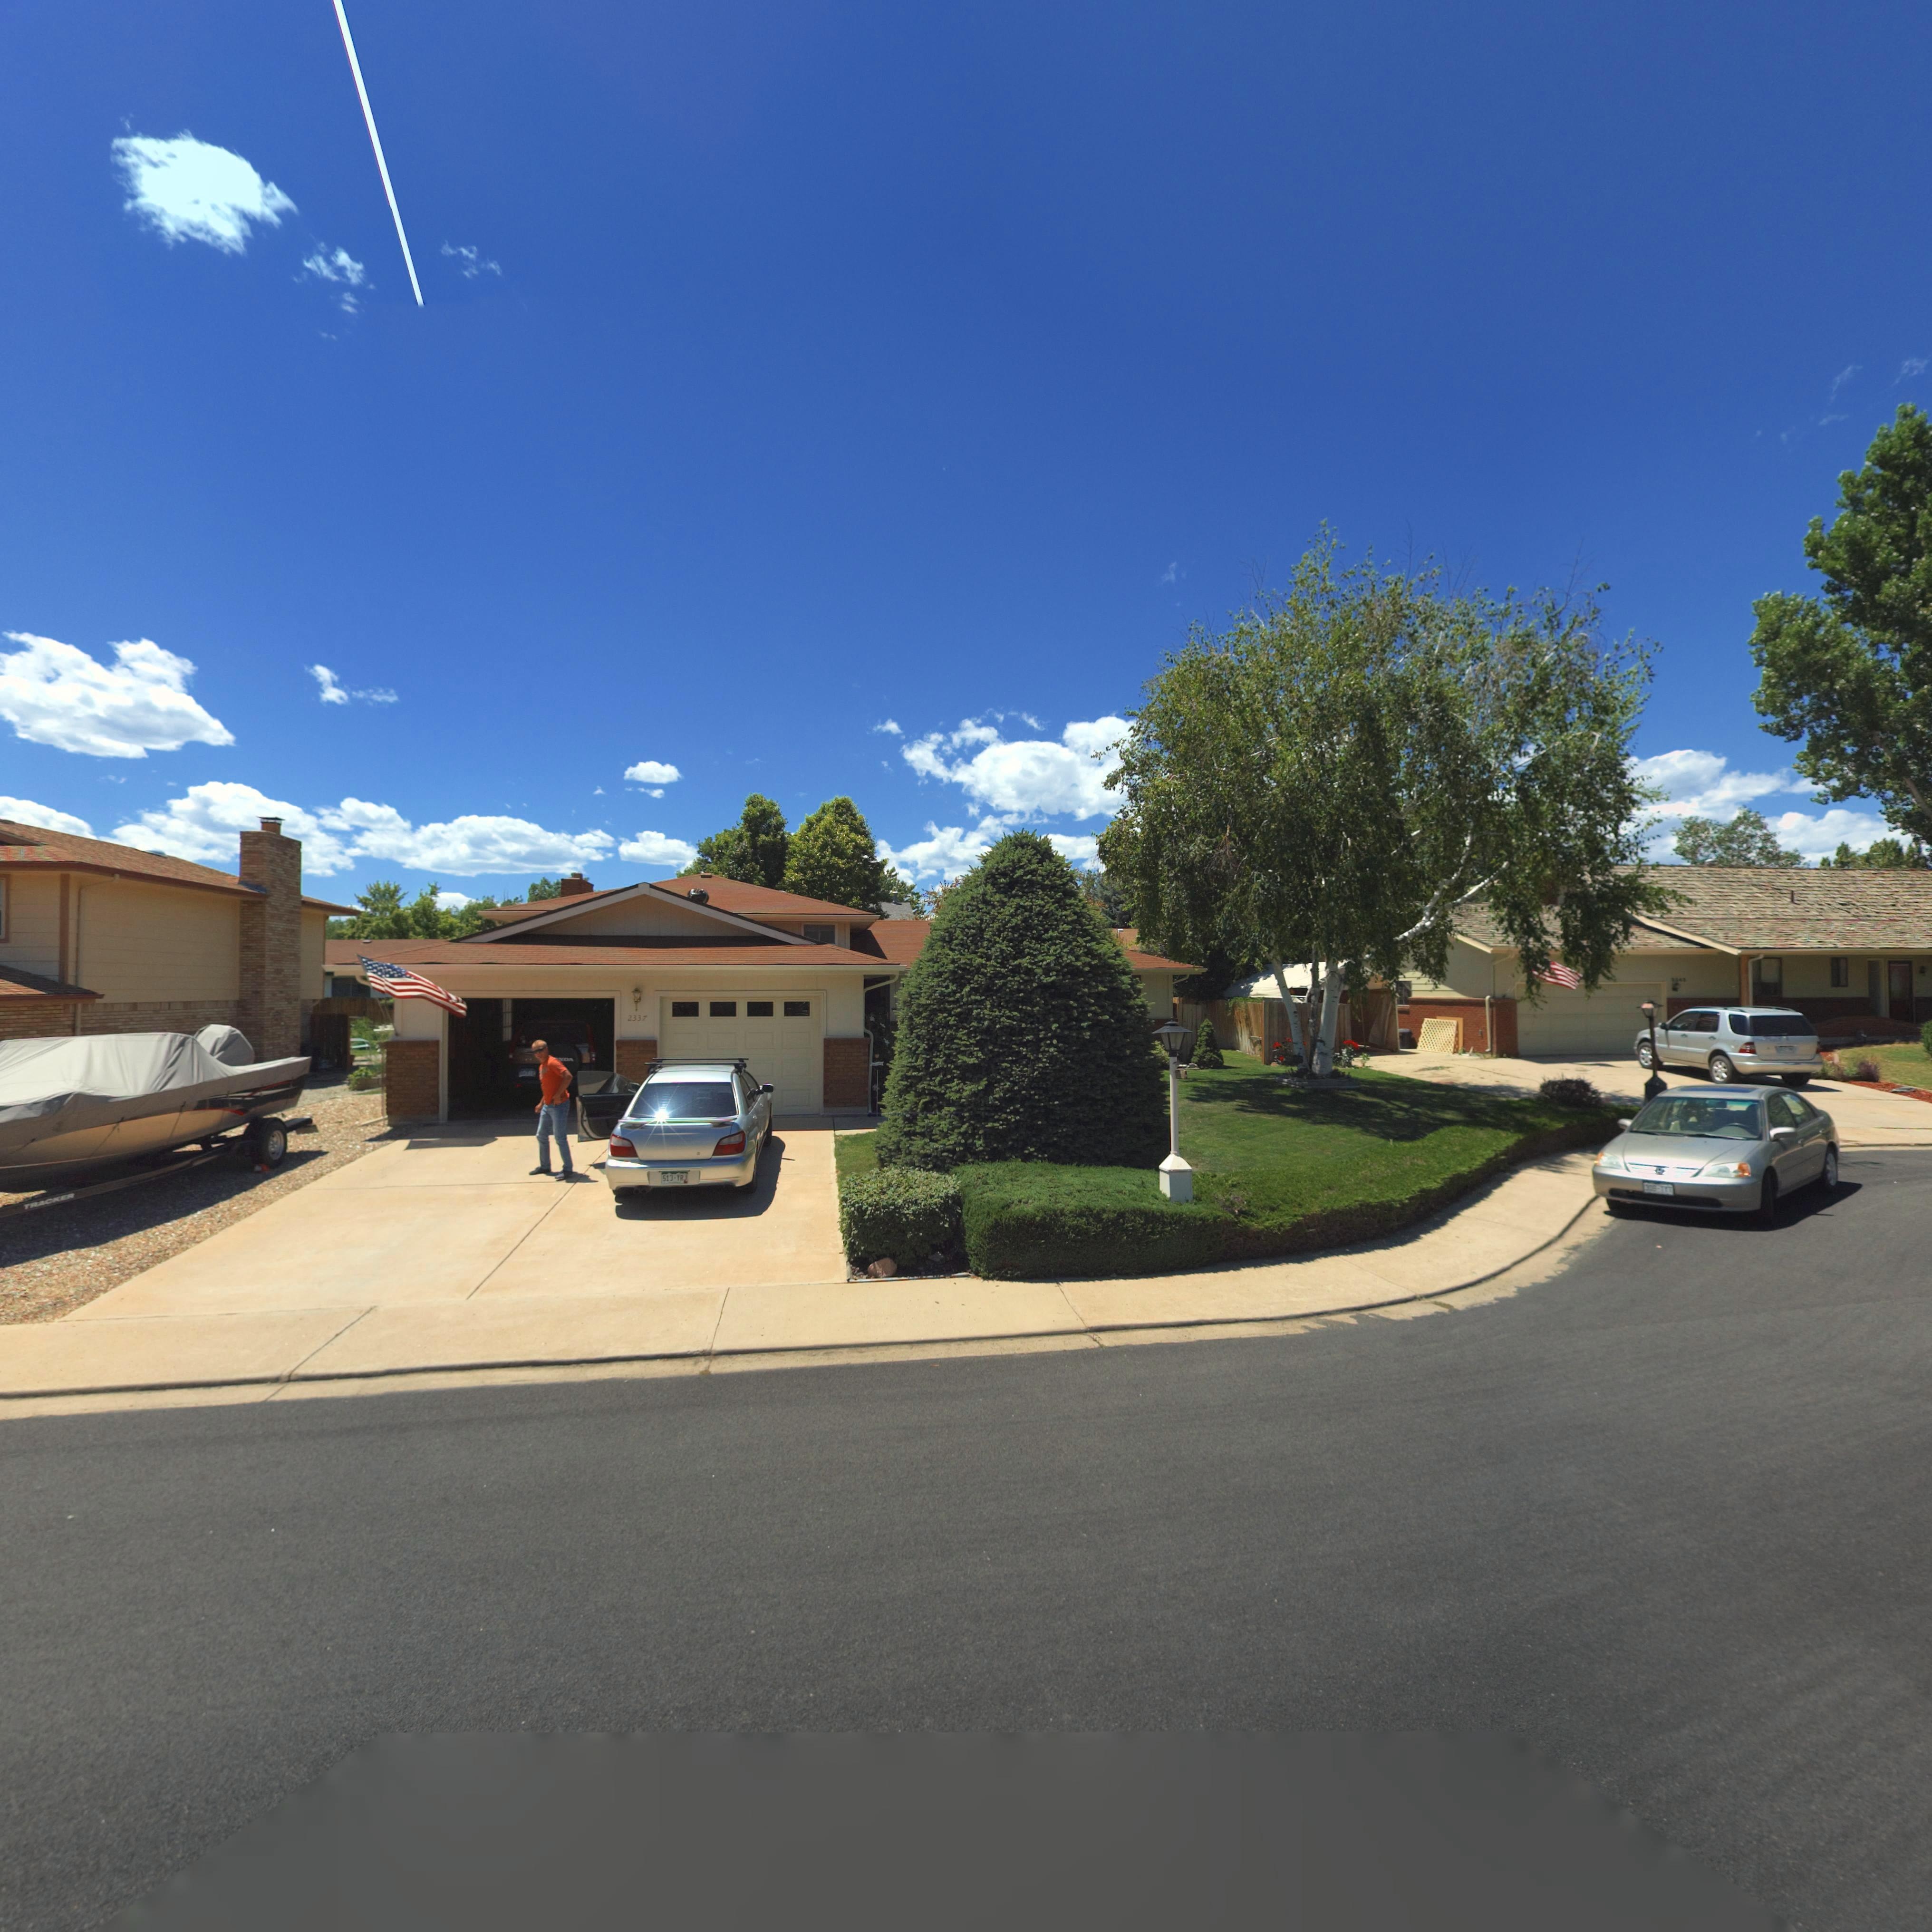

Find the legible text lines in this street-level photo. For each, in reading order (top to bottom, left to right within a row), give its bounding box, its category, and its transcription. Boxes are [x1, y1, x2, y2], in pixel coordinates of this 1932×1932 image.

[1671, 977, 1687, 982] StreetNumber: 2343
[627, 1014, 647, 1021] StreetNumber: 2337